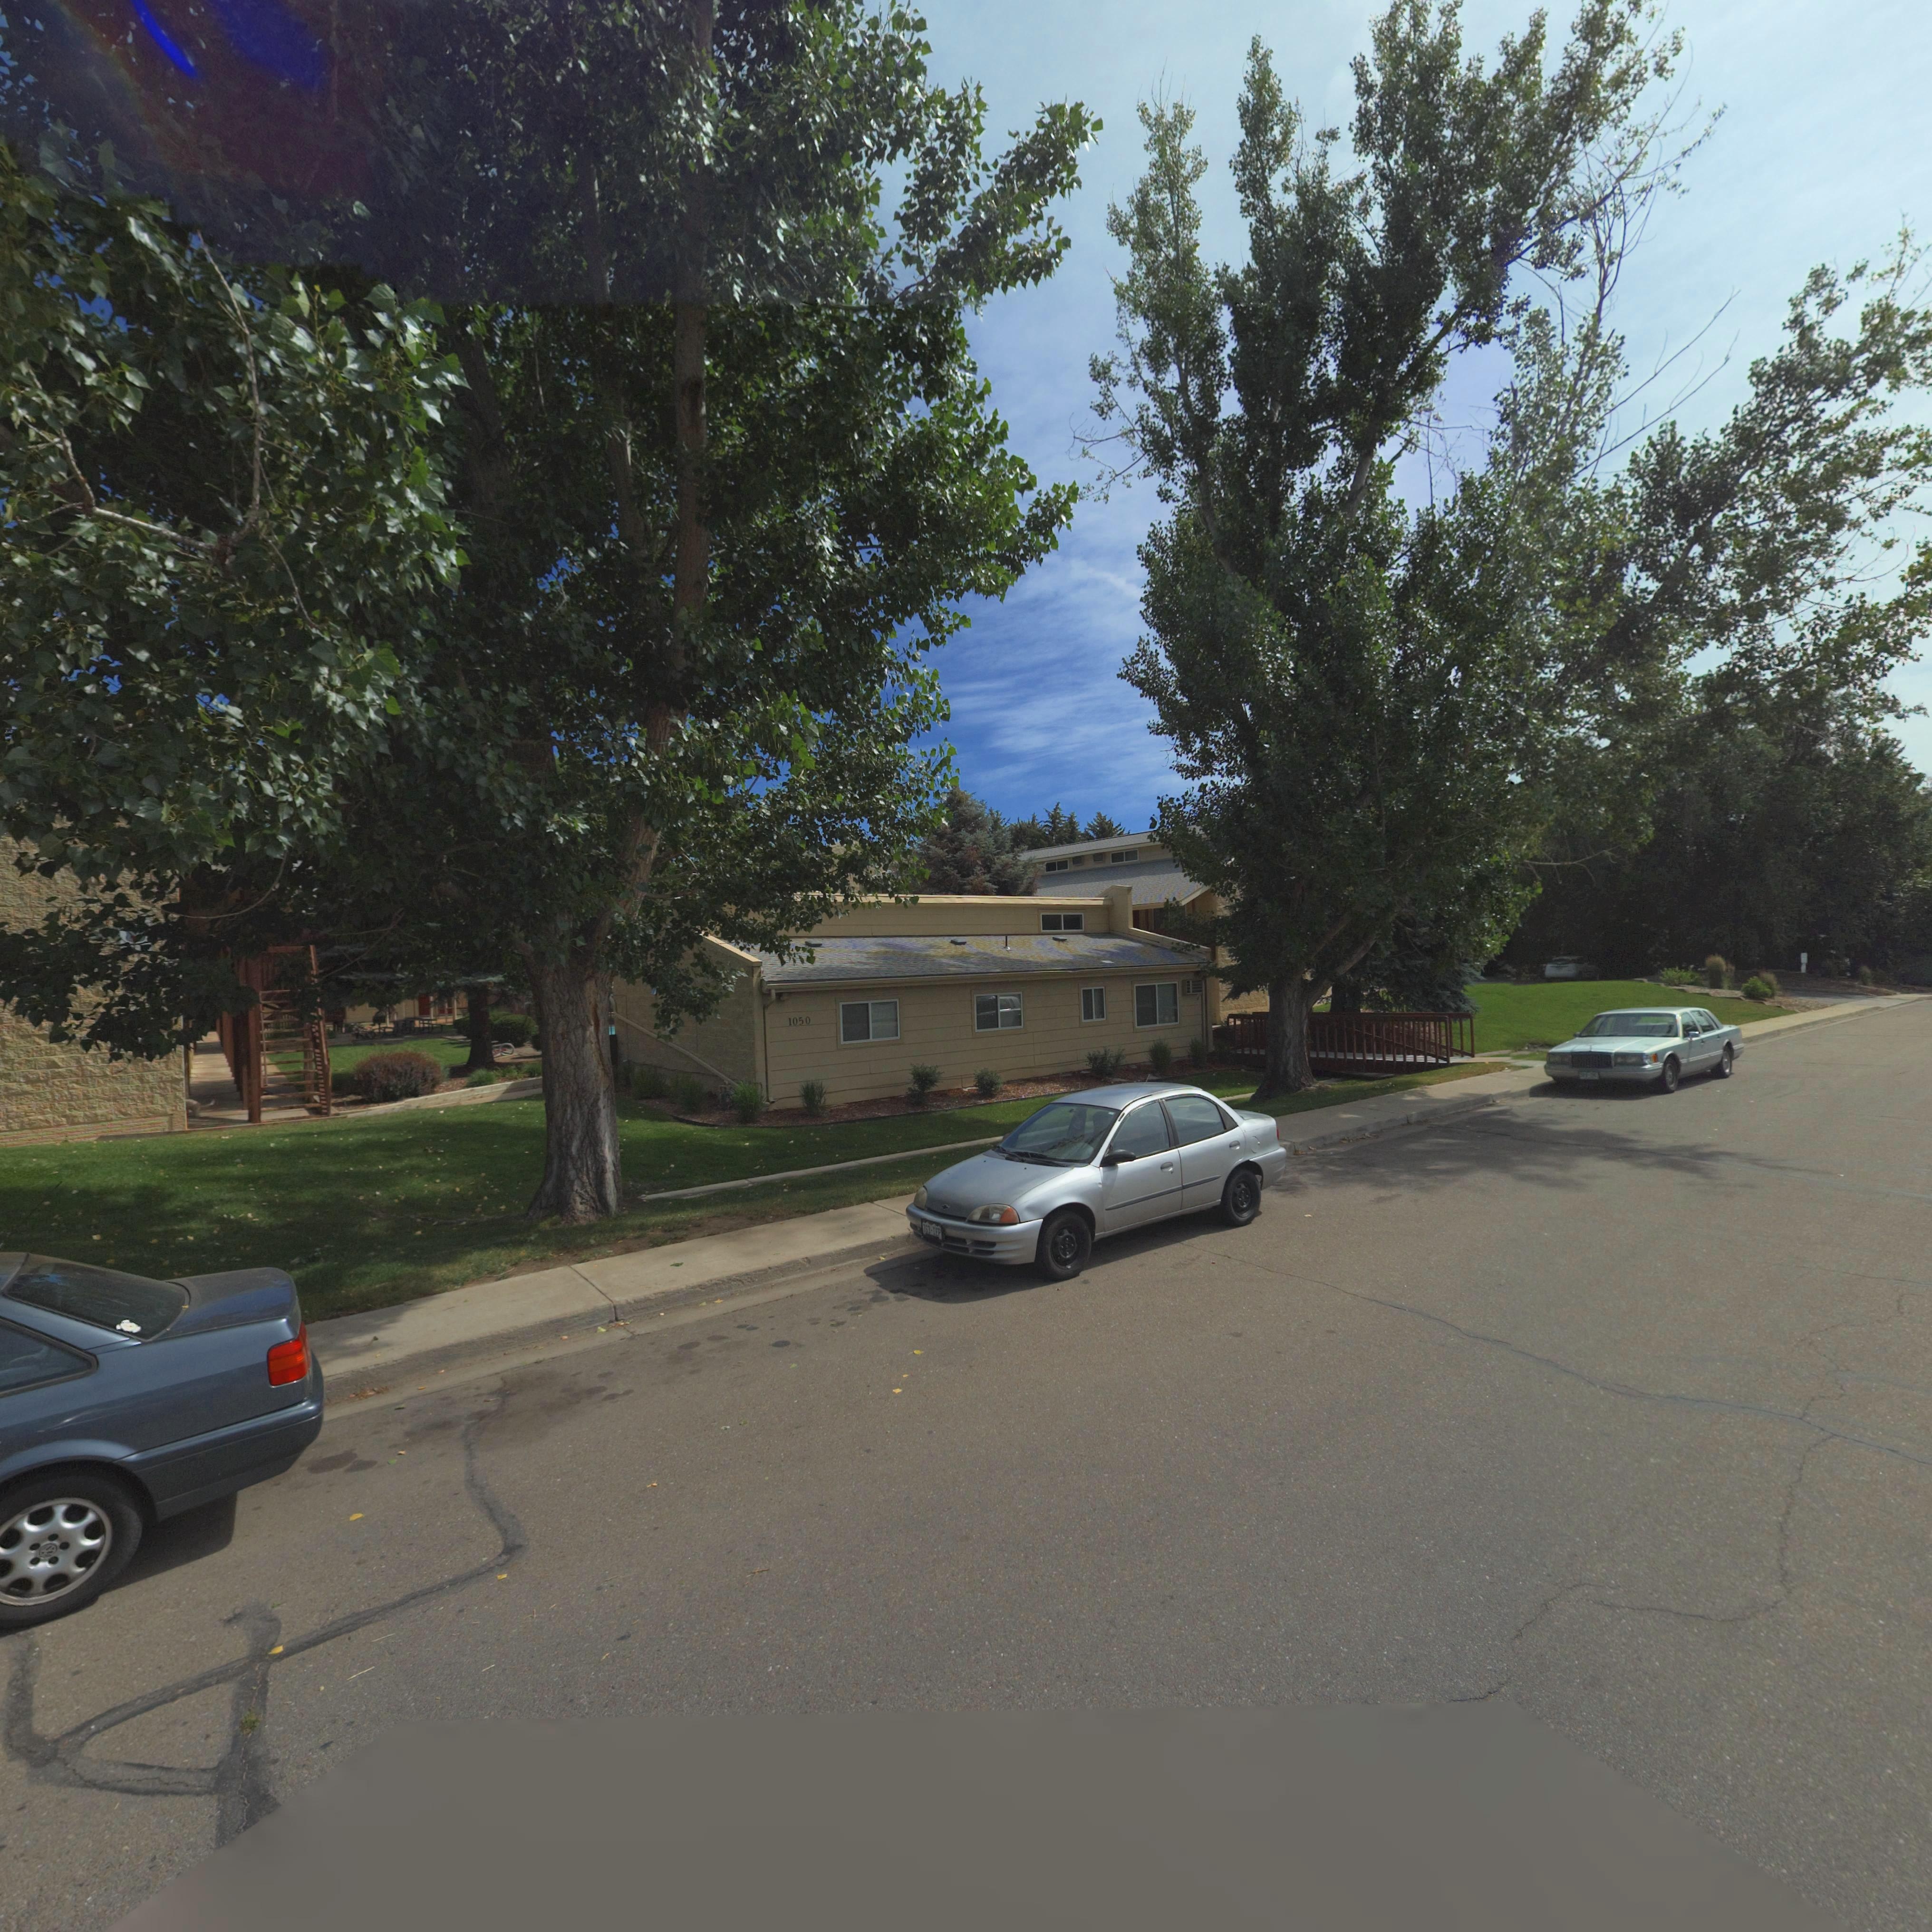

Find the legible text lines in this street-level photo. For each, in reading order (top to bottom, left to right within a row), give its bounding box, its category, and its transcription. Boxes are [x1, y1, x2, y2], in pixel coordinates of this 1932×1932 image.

[787, 1015, 811, 1026] StreetNumber: 1050